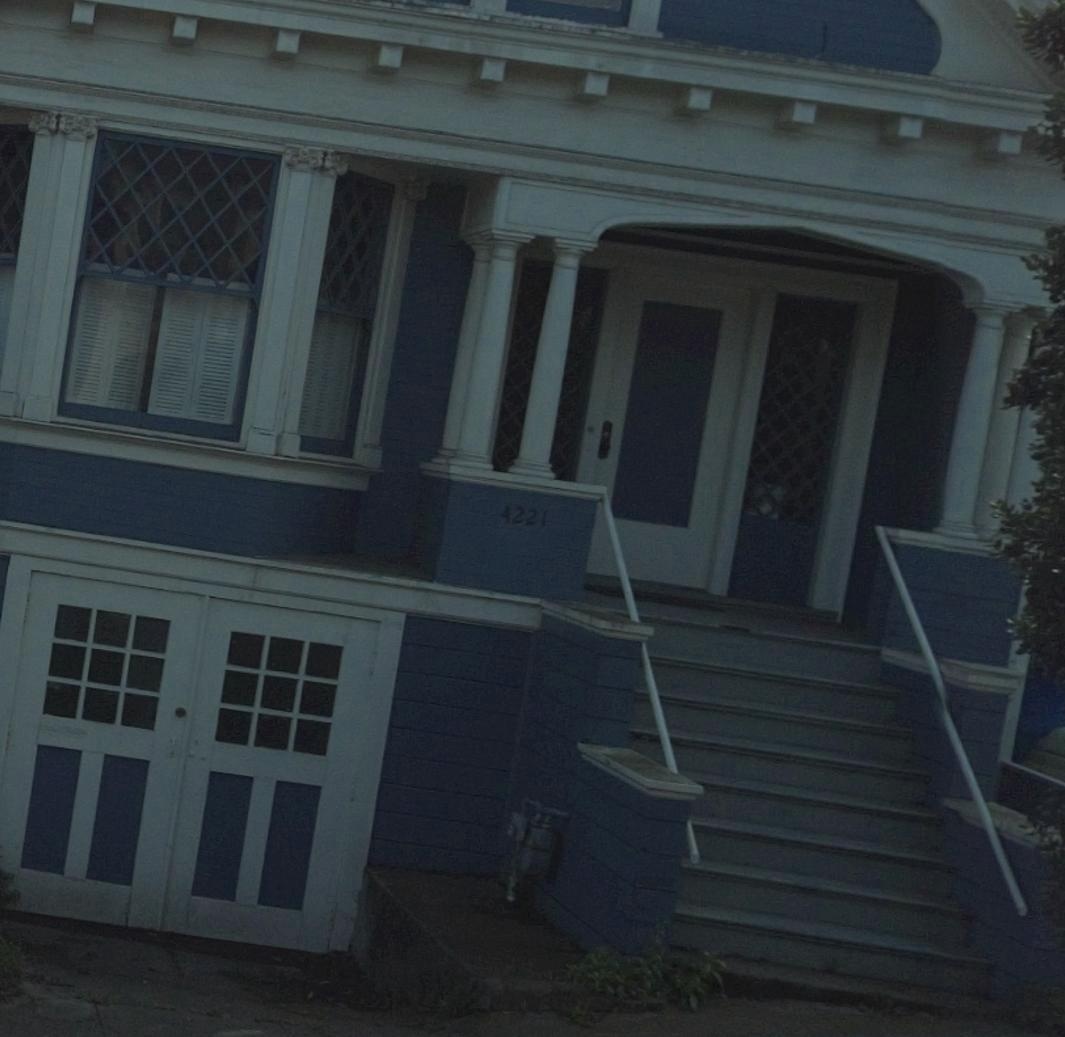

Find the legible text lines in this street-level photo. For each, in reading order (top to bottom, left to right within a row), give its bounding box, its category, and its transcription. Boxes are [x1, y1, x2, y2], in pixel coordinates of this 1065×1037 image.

[499, 502, 549, 528] StreetNumber: 4221